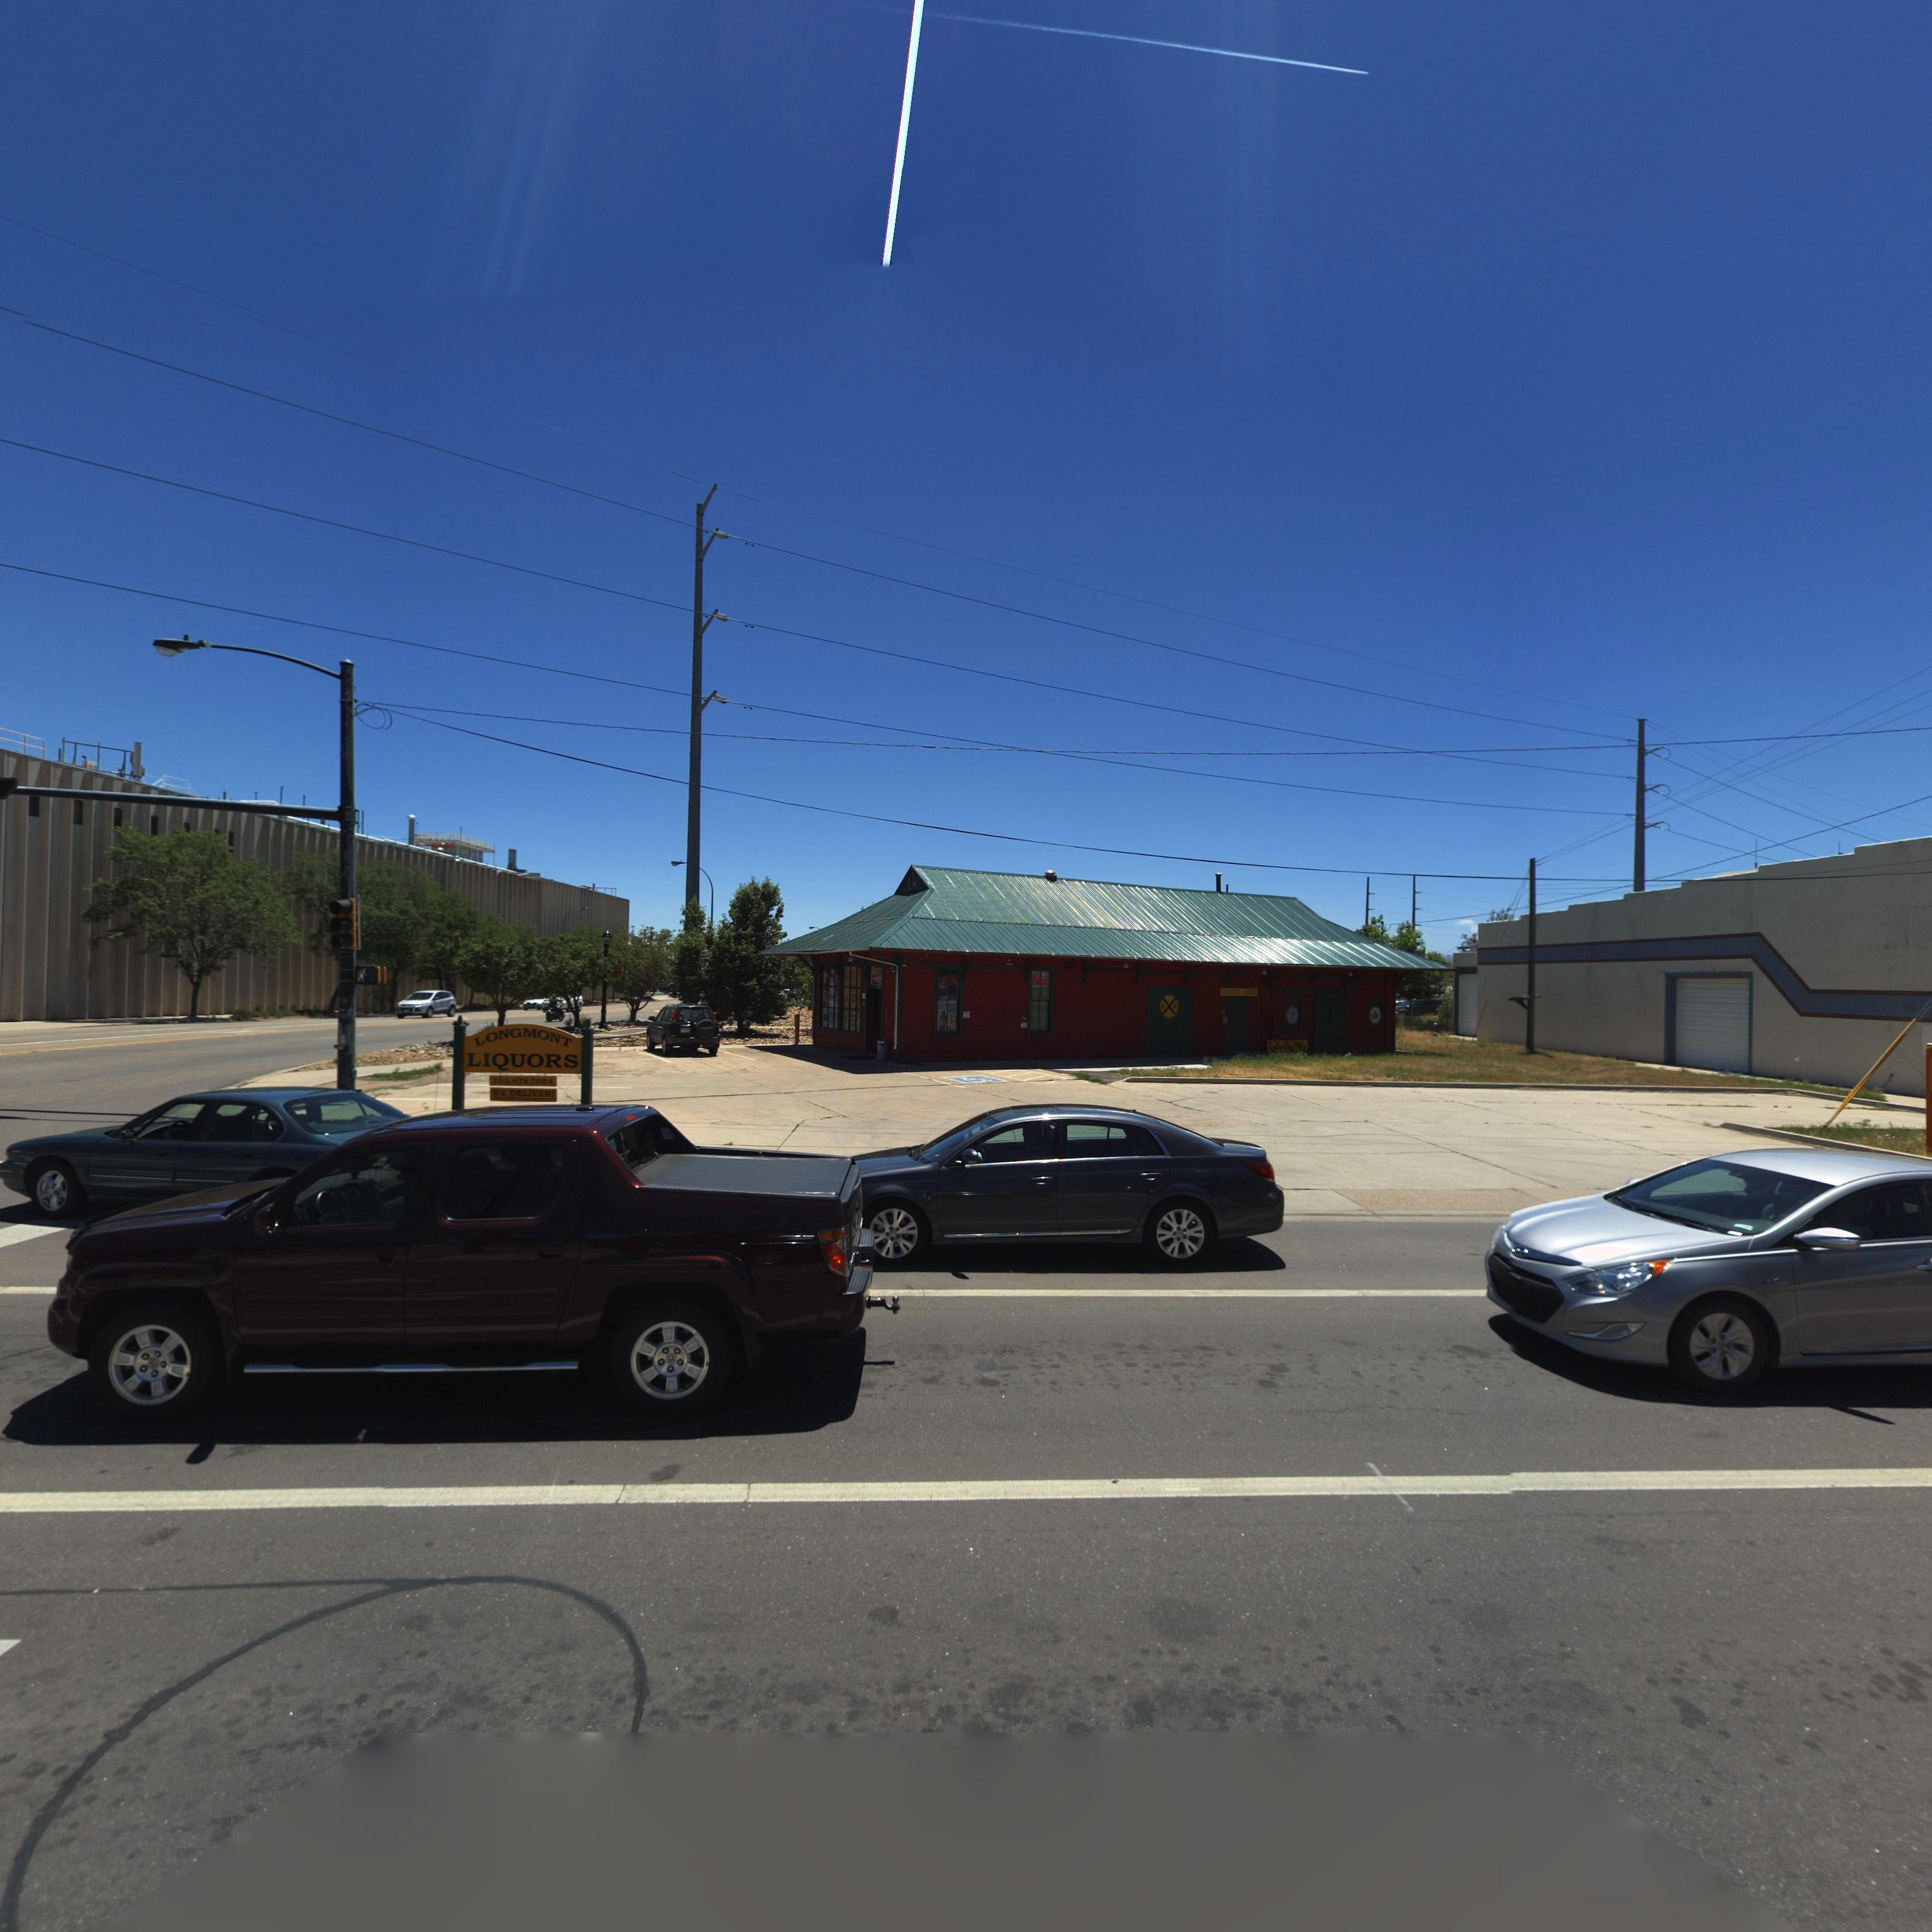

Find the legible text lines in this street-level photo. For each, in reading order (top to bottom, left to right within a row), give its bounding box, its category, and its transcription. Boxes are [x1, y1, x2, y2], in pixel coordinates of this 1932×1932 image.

[1221, 989, 1256, 995] BusinessName: T*ADER **D*
[473, 1027, 573, 1048] BusinessName: LONGMONT
[1266, 1040, 1309, 1054] BusinessName: TRADER NED
[466, 1052, 578, 1071] BusinessName: LIQUORS